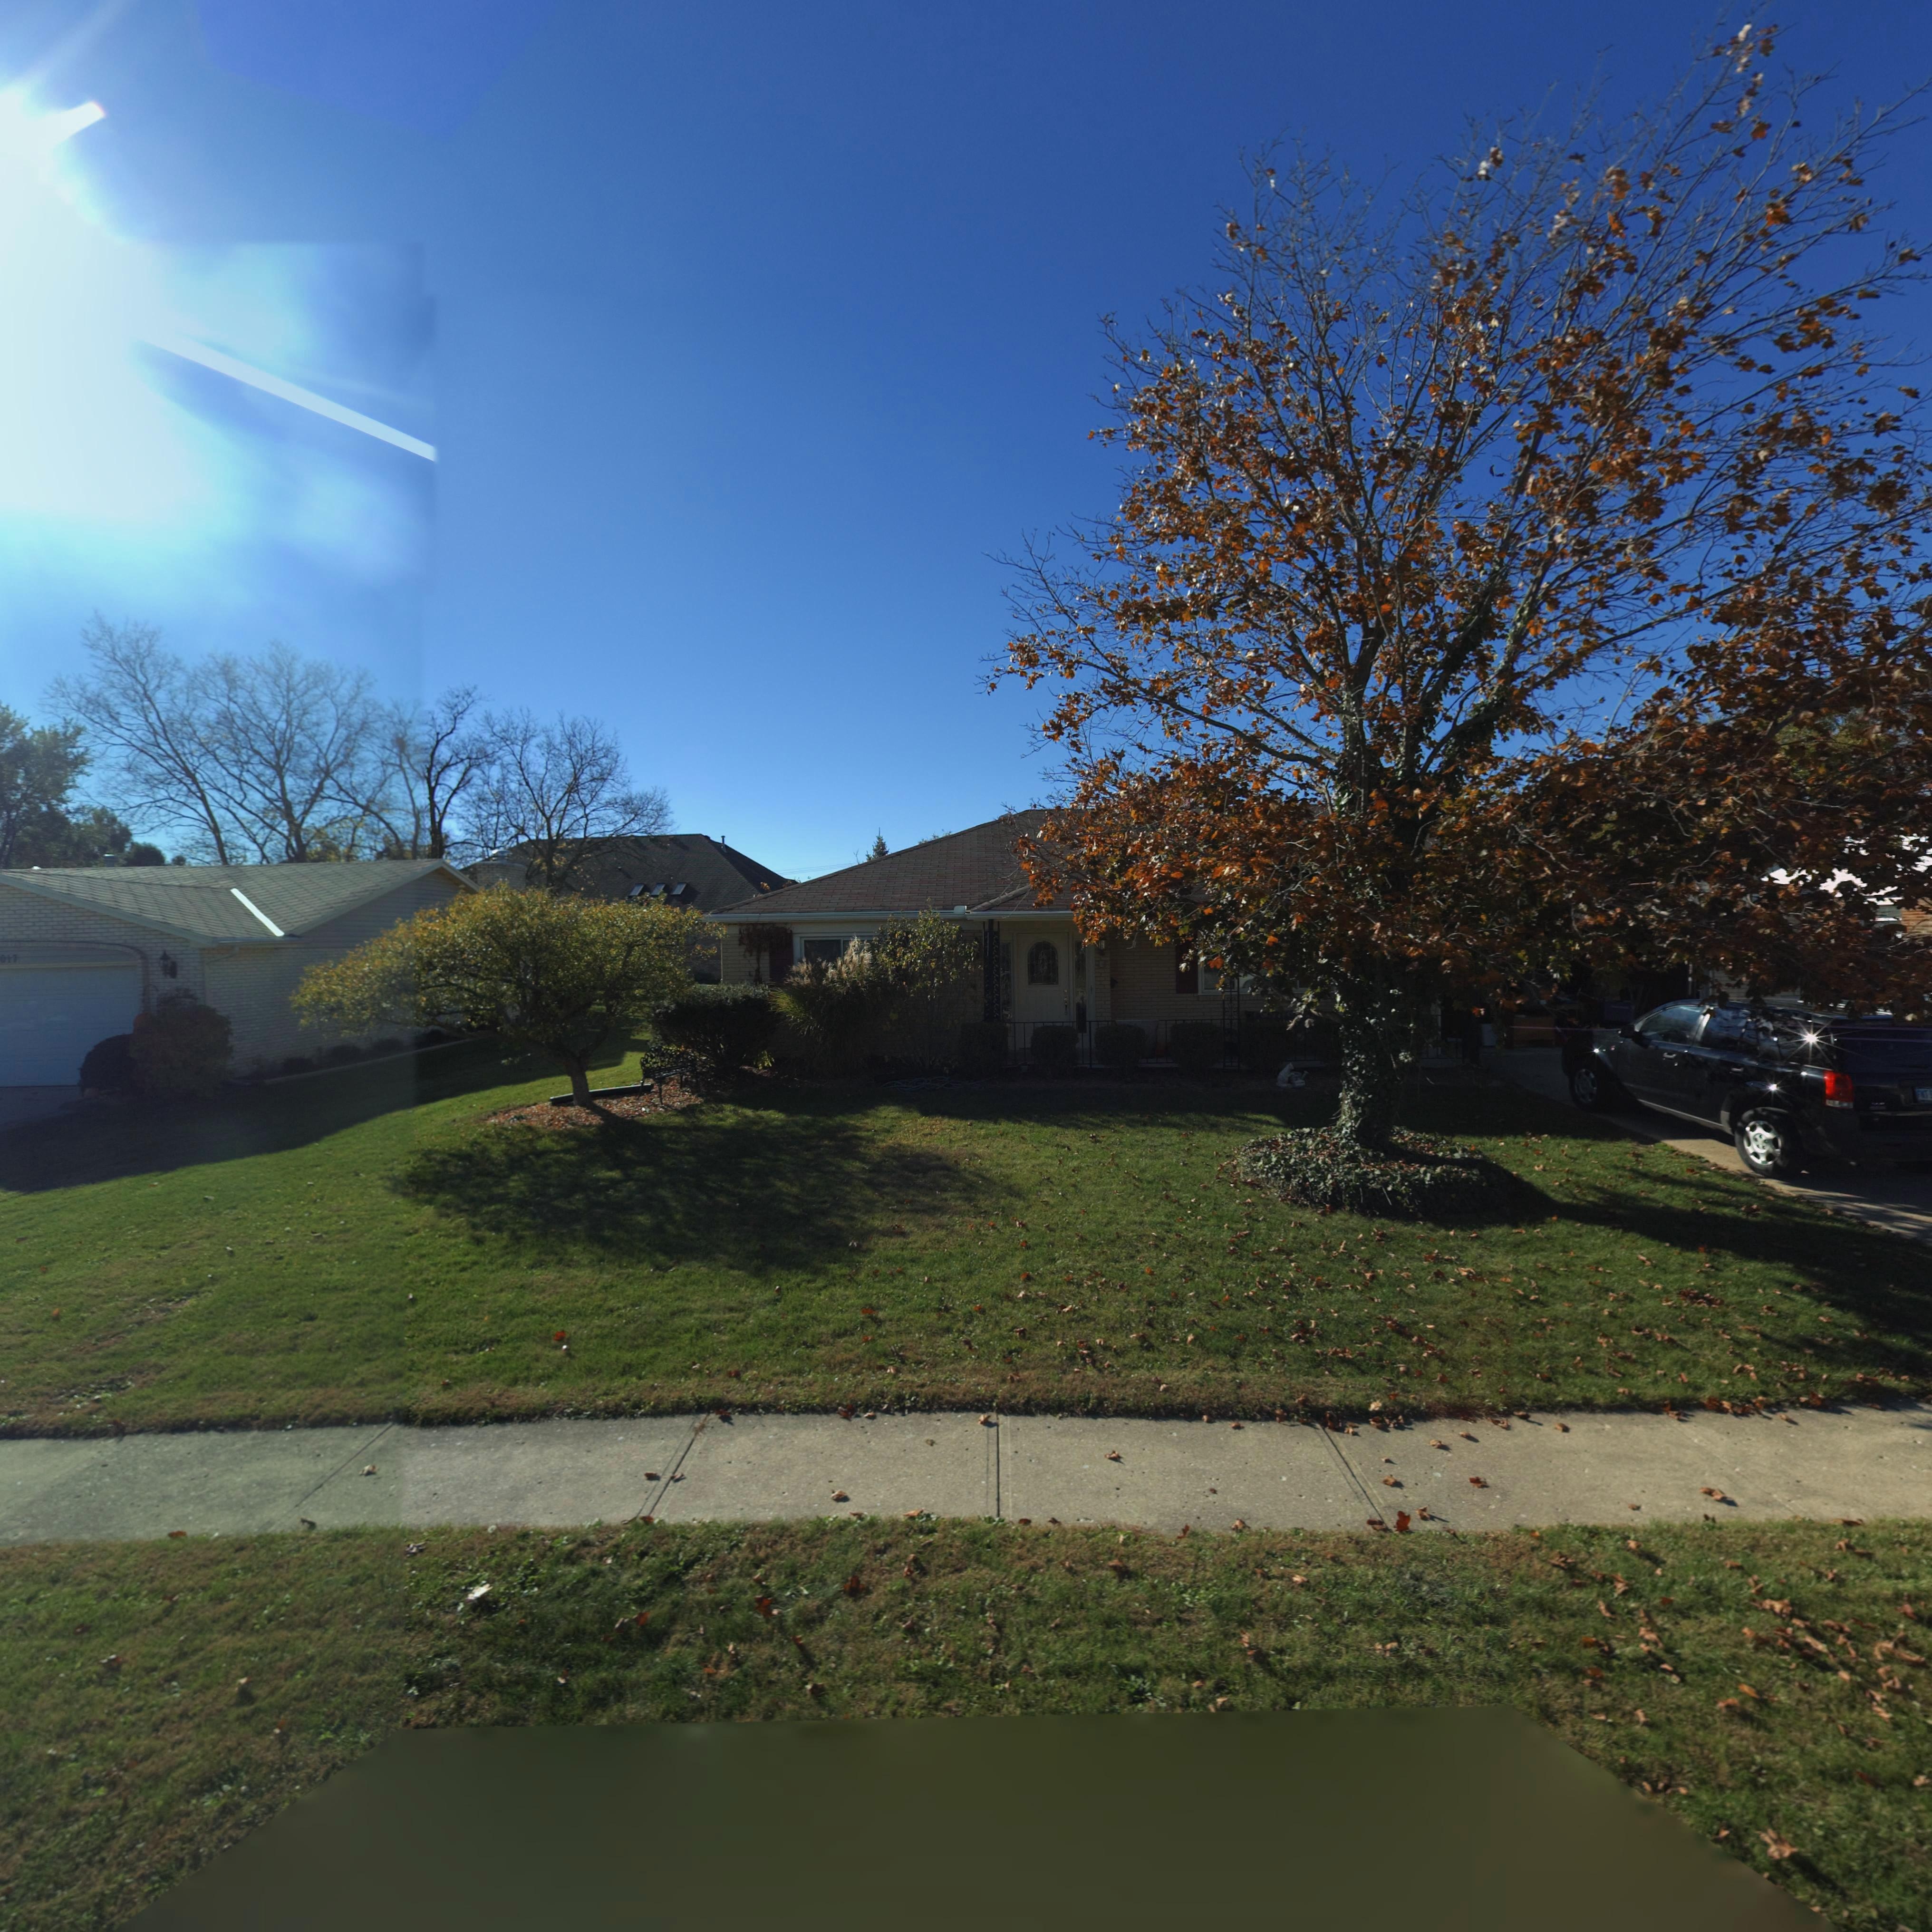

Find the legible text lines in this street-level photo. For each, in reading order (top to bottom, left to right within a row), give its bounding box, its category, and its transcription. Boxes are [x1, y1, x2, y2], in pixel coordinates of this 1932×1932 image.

[0, 954, 18, 964] StreetNumber: 017